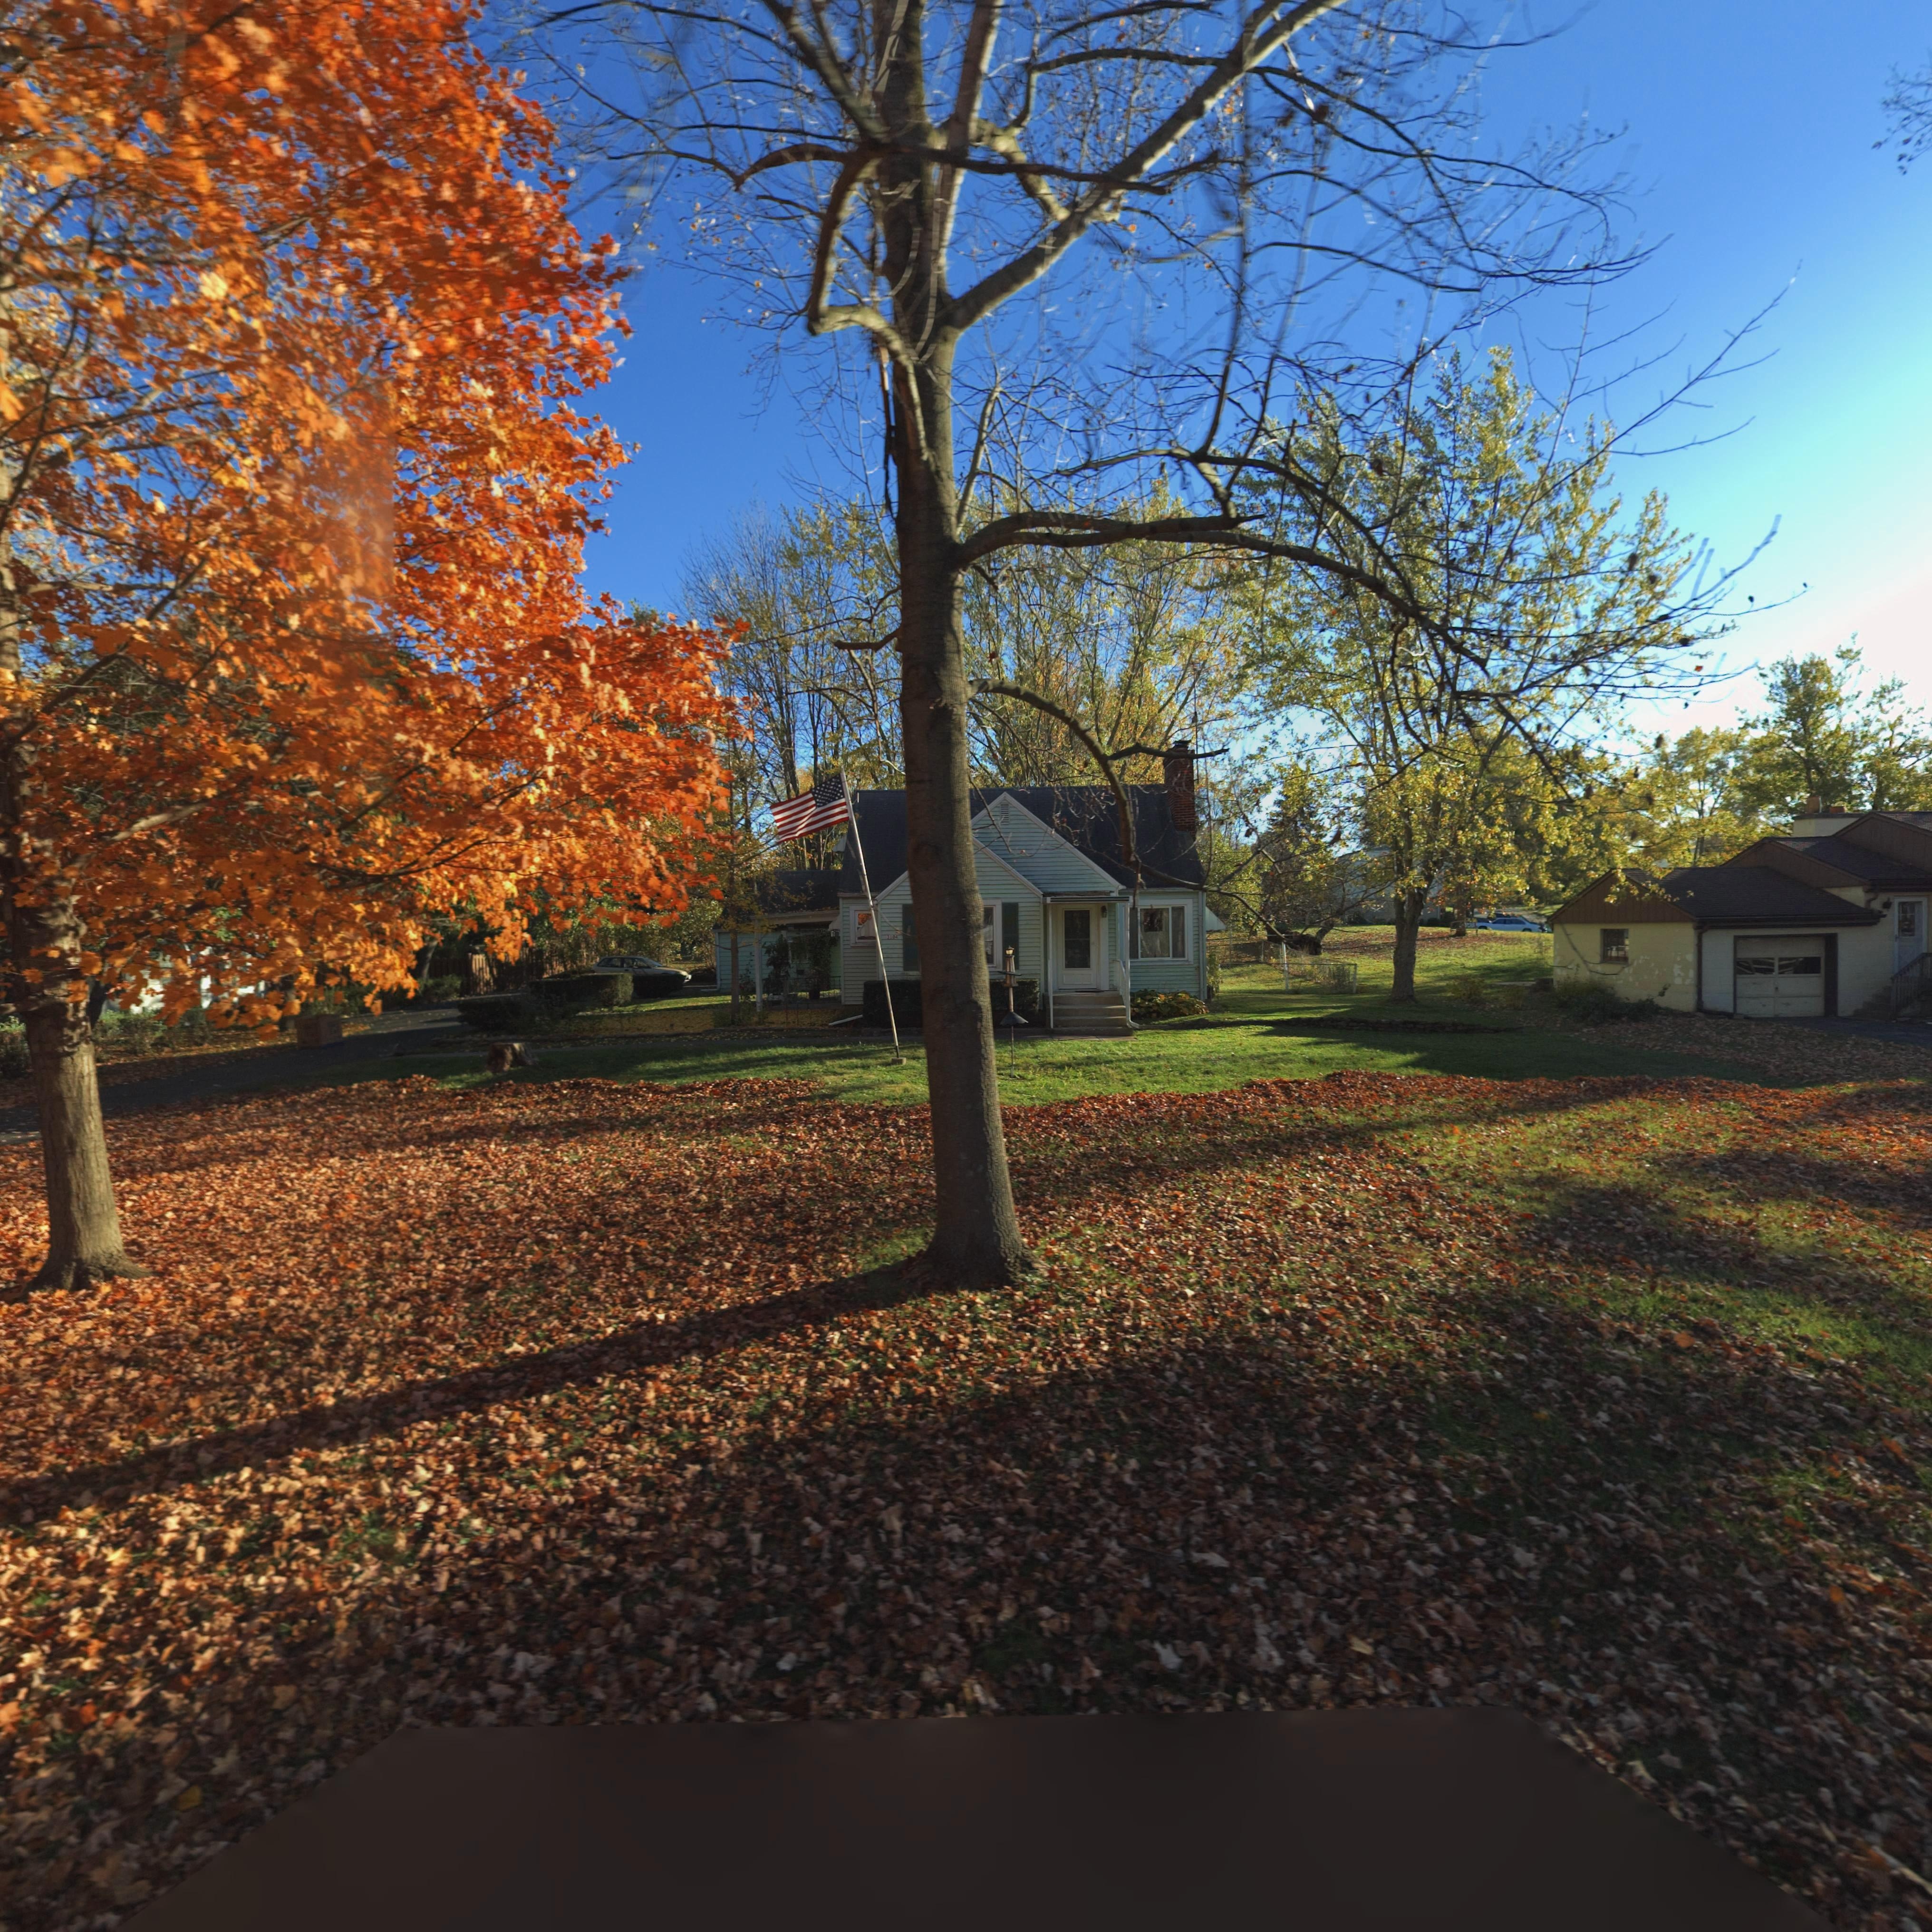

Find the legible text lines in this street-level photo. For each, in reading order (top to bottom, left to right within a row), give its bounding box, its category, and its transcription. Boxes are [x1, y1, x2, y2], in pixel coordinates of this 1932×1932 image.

[886, 934, 898, 940] StreetNumber: 2104